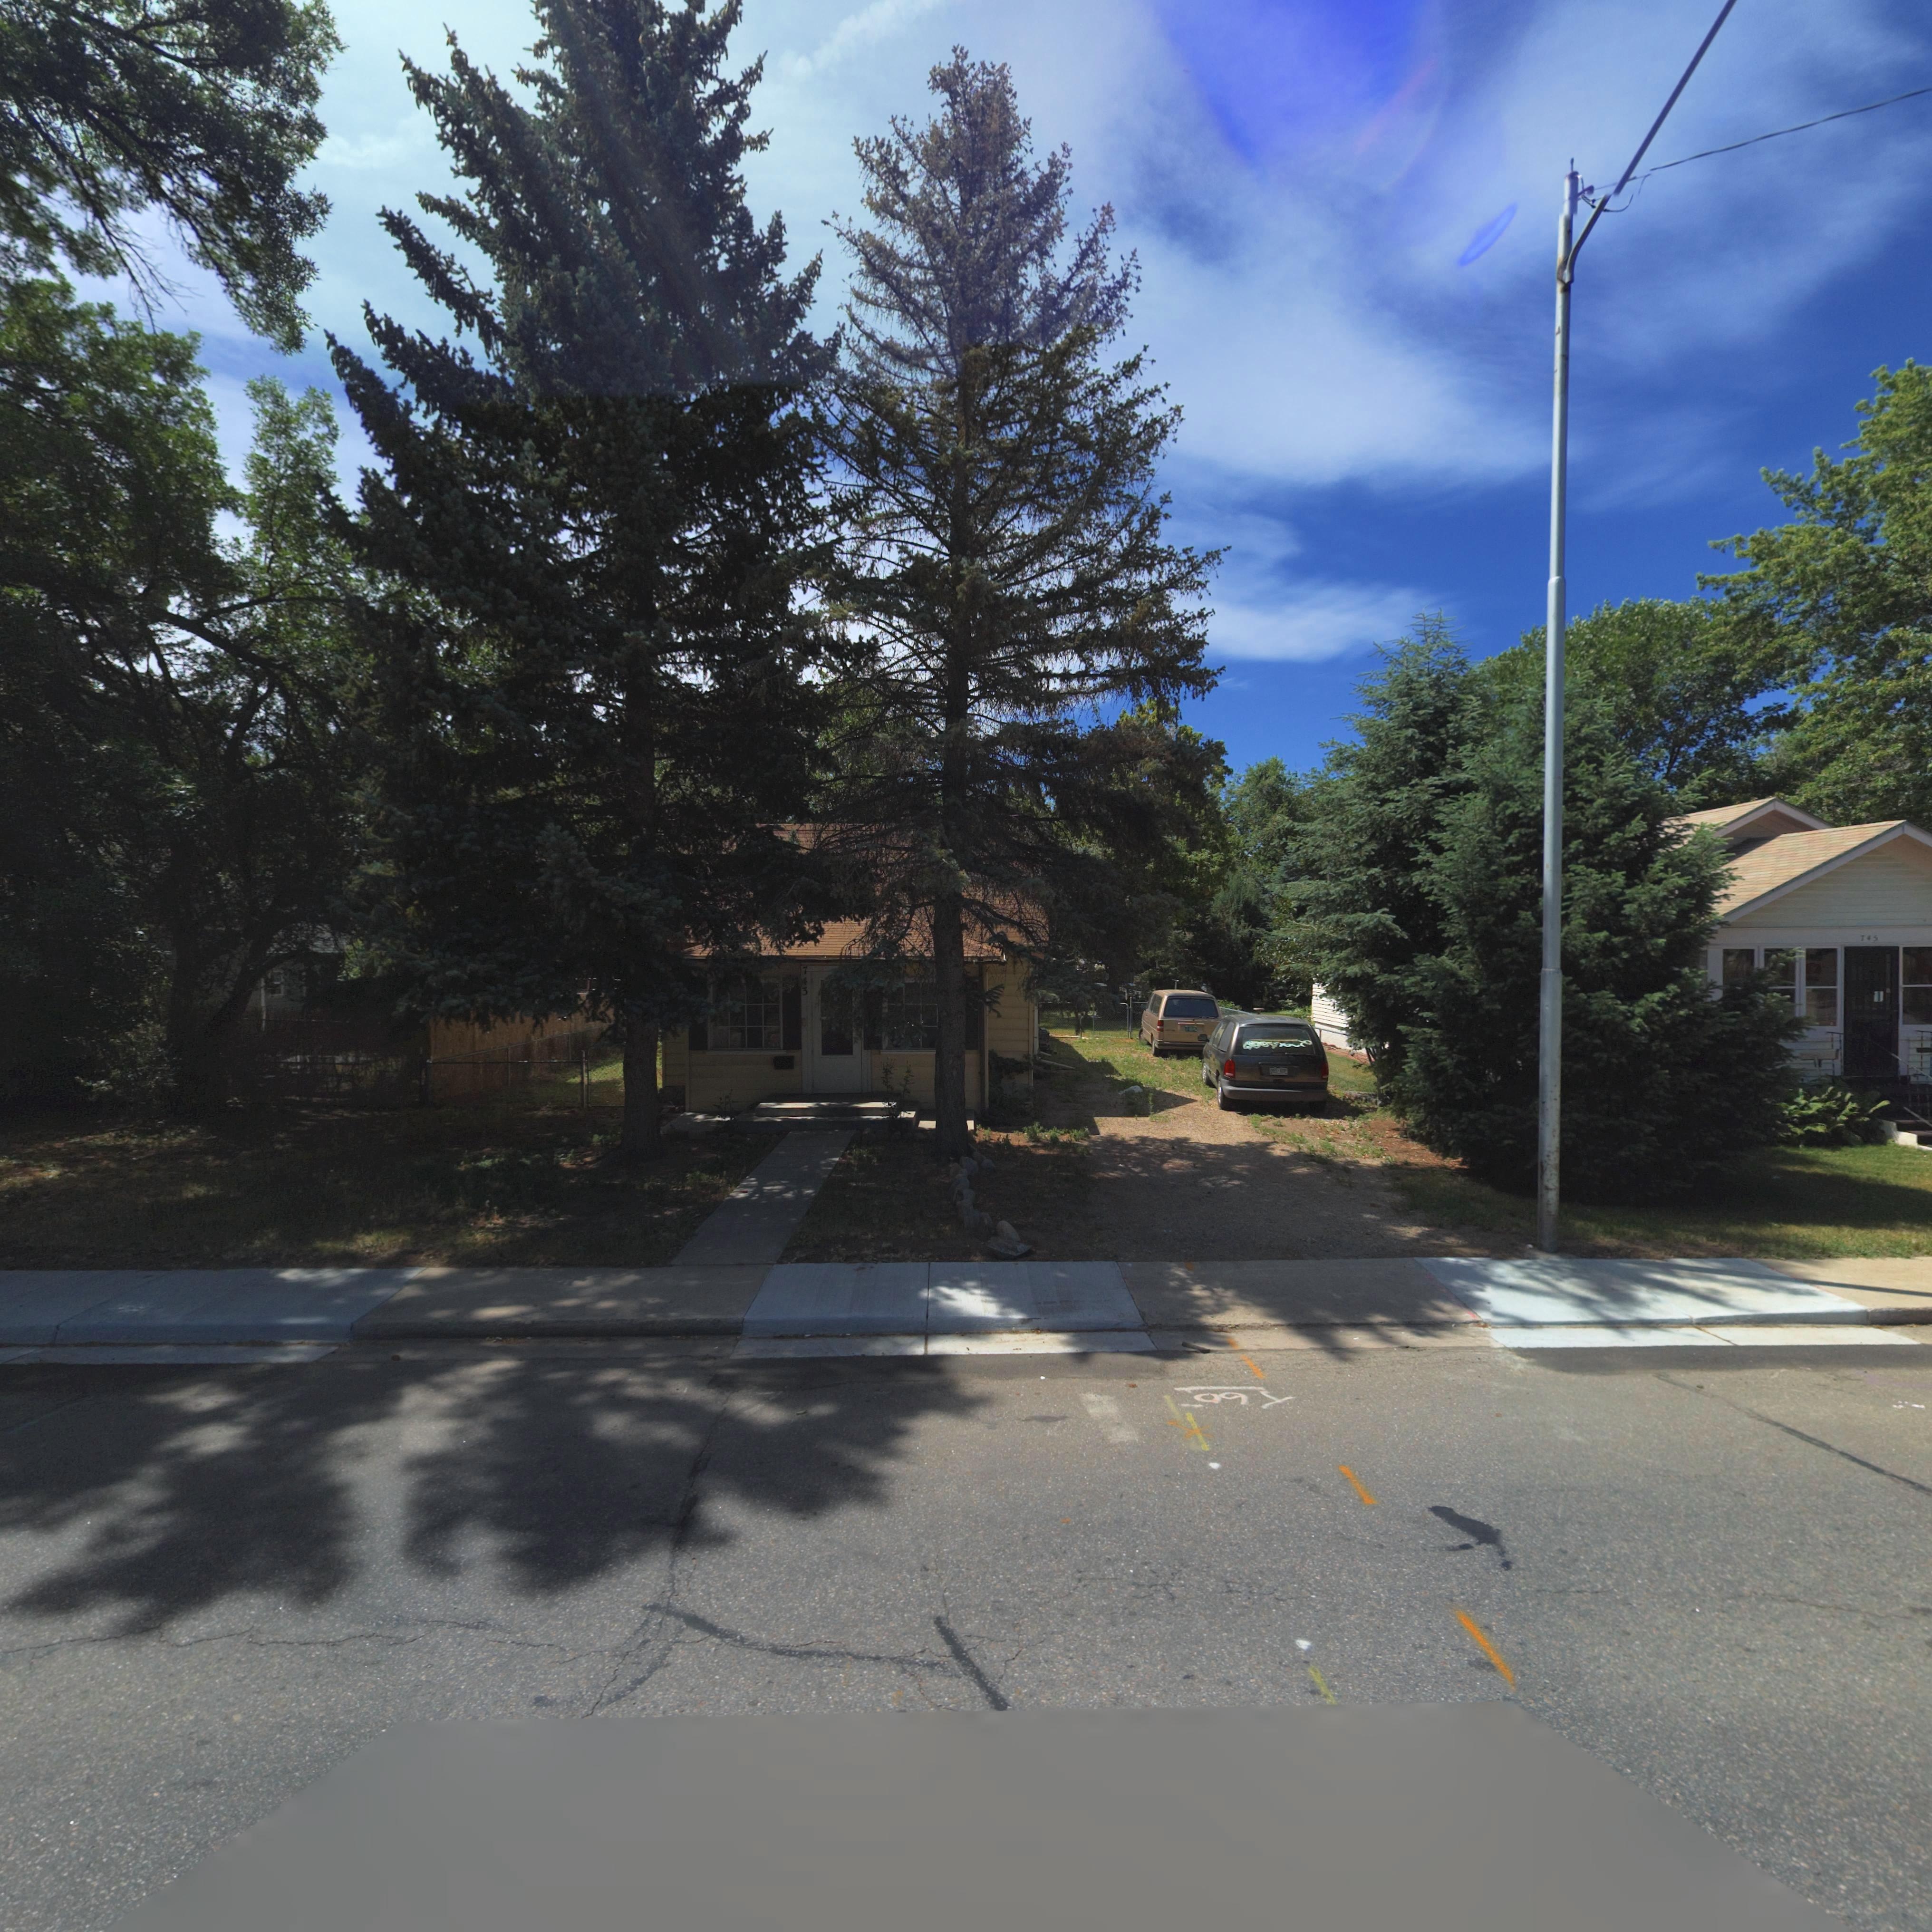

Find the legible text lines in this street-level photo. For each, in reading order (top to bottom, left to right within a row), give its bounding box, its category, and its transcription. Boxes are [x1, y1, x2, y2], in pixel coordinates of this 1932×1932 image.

[1859, 935, 1879, 942] StreetNumber: 745
[801, 966, 808, 996] StreetNumber: 743